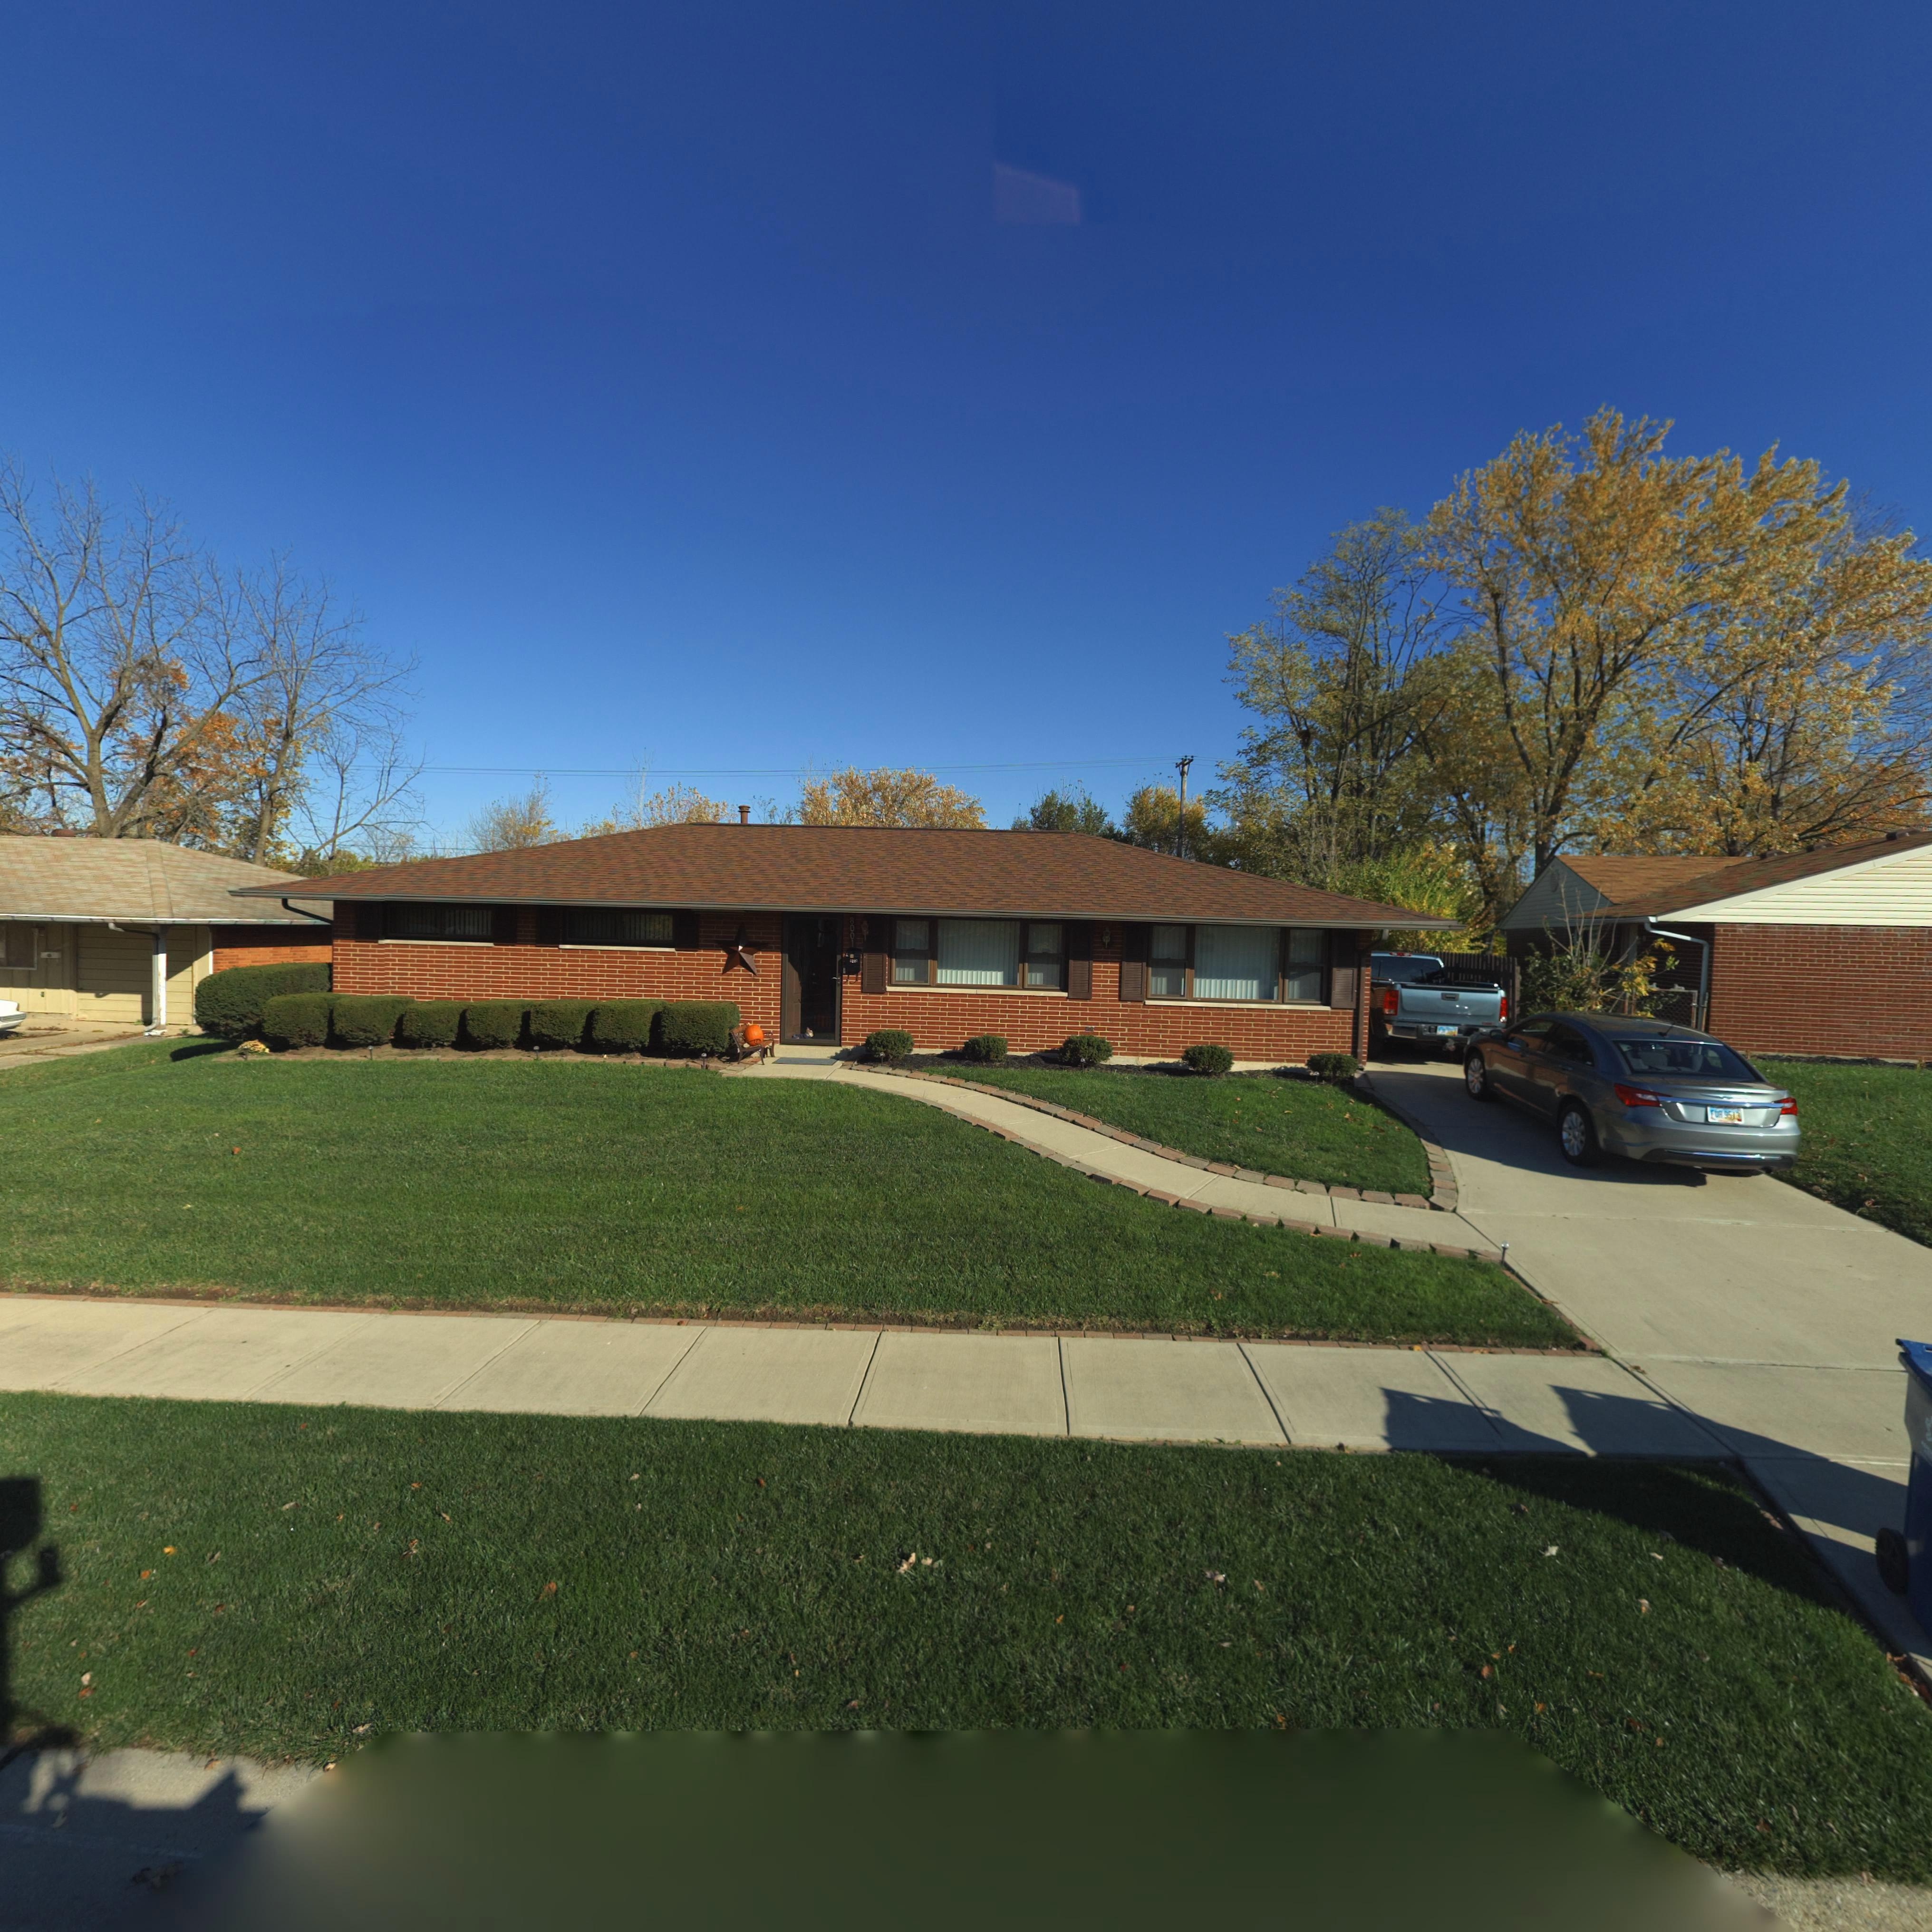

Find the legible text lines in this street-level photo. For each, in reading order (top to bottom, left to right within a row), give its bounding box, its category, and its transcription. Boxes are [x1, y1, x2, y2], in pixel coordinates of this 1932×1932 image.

[849, 916, 856, 948] StreetNumber: 8001